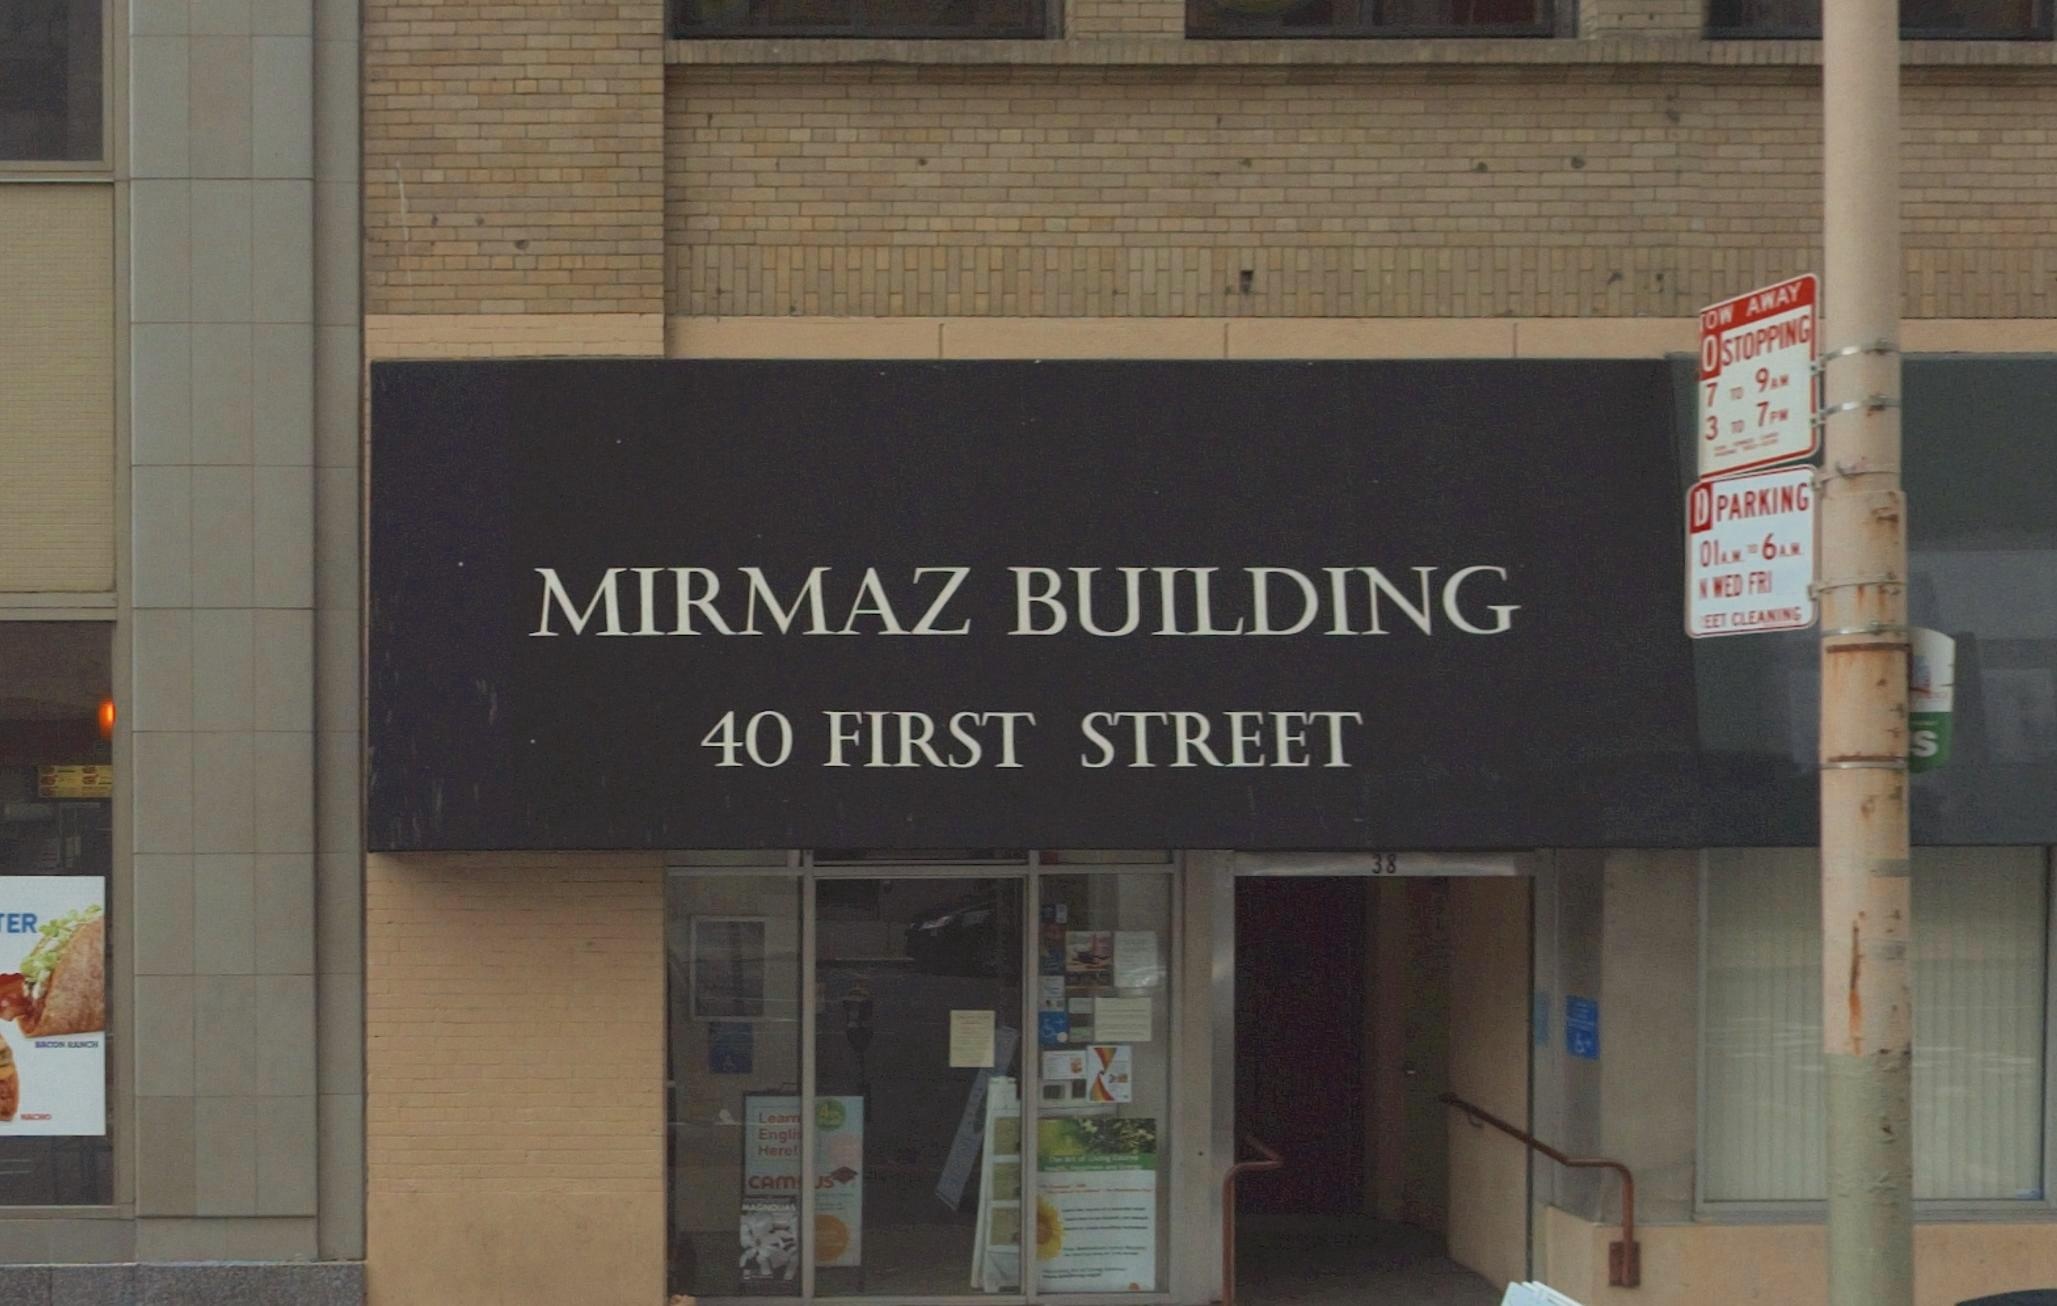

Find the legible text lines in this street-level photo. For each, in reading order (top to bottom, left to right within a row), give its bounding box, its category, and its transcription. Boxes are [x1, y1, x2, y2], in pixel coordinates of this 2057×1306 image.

[1702, 276, 1807, 334] None: OW AWAY
[1699, 309, 1815, 377] None: O STOPPING
[1702, 362, 1794, 413] None: 7 TO 9AM
[1701, 394, 1794, 447] None: 3 TO 7PM
[1686, 478, 1814, 533] None: ** PARKING
[1694, 527, 1806, 571] None: 01AM TO 6AM
[523, 558, 1521, 646] BusinessName: Mirmaz Building
[1695, 565, 1778, 605] None: N WED FRI
[1701, 602, 1805, 631] None: EET CLEANING
[693, 704, 796, 772] StreetNumber: 40
[815, 702, 1373, 776] StreetName: FIRST STREET
[1909, 725, 1943, 761] None: S
[1369, 850, 1400, 876] StreetNumber: 38
[3, 908, 40, 937] None: ER
[33, 1038, 101, 1051] None: BACCON RANCH
[18, 1110, 55, 1123] None: NACHO
[756, 1125, 798, 1146] None: Engli
[757, 1110, 803, 1126] None: Learn
[746, 1173, 800, 1192] None: CAM
[820, 1173, 837, 1191] None: S